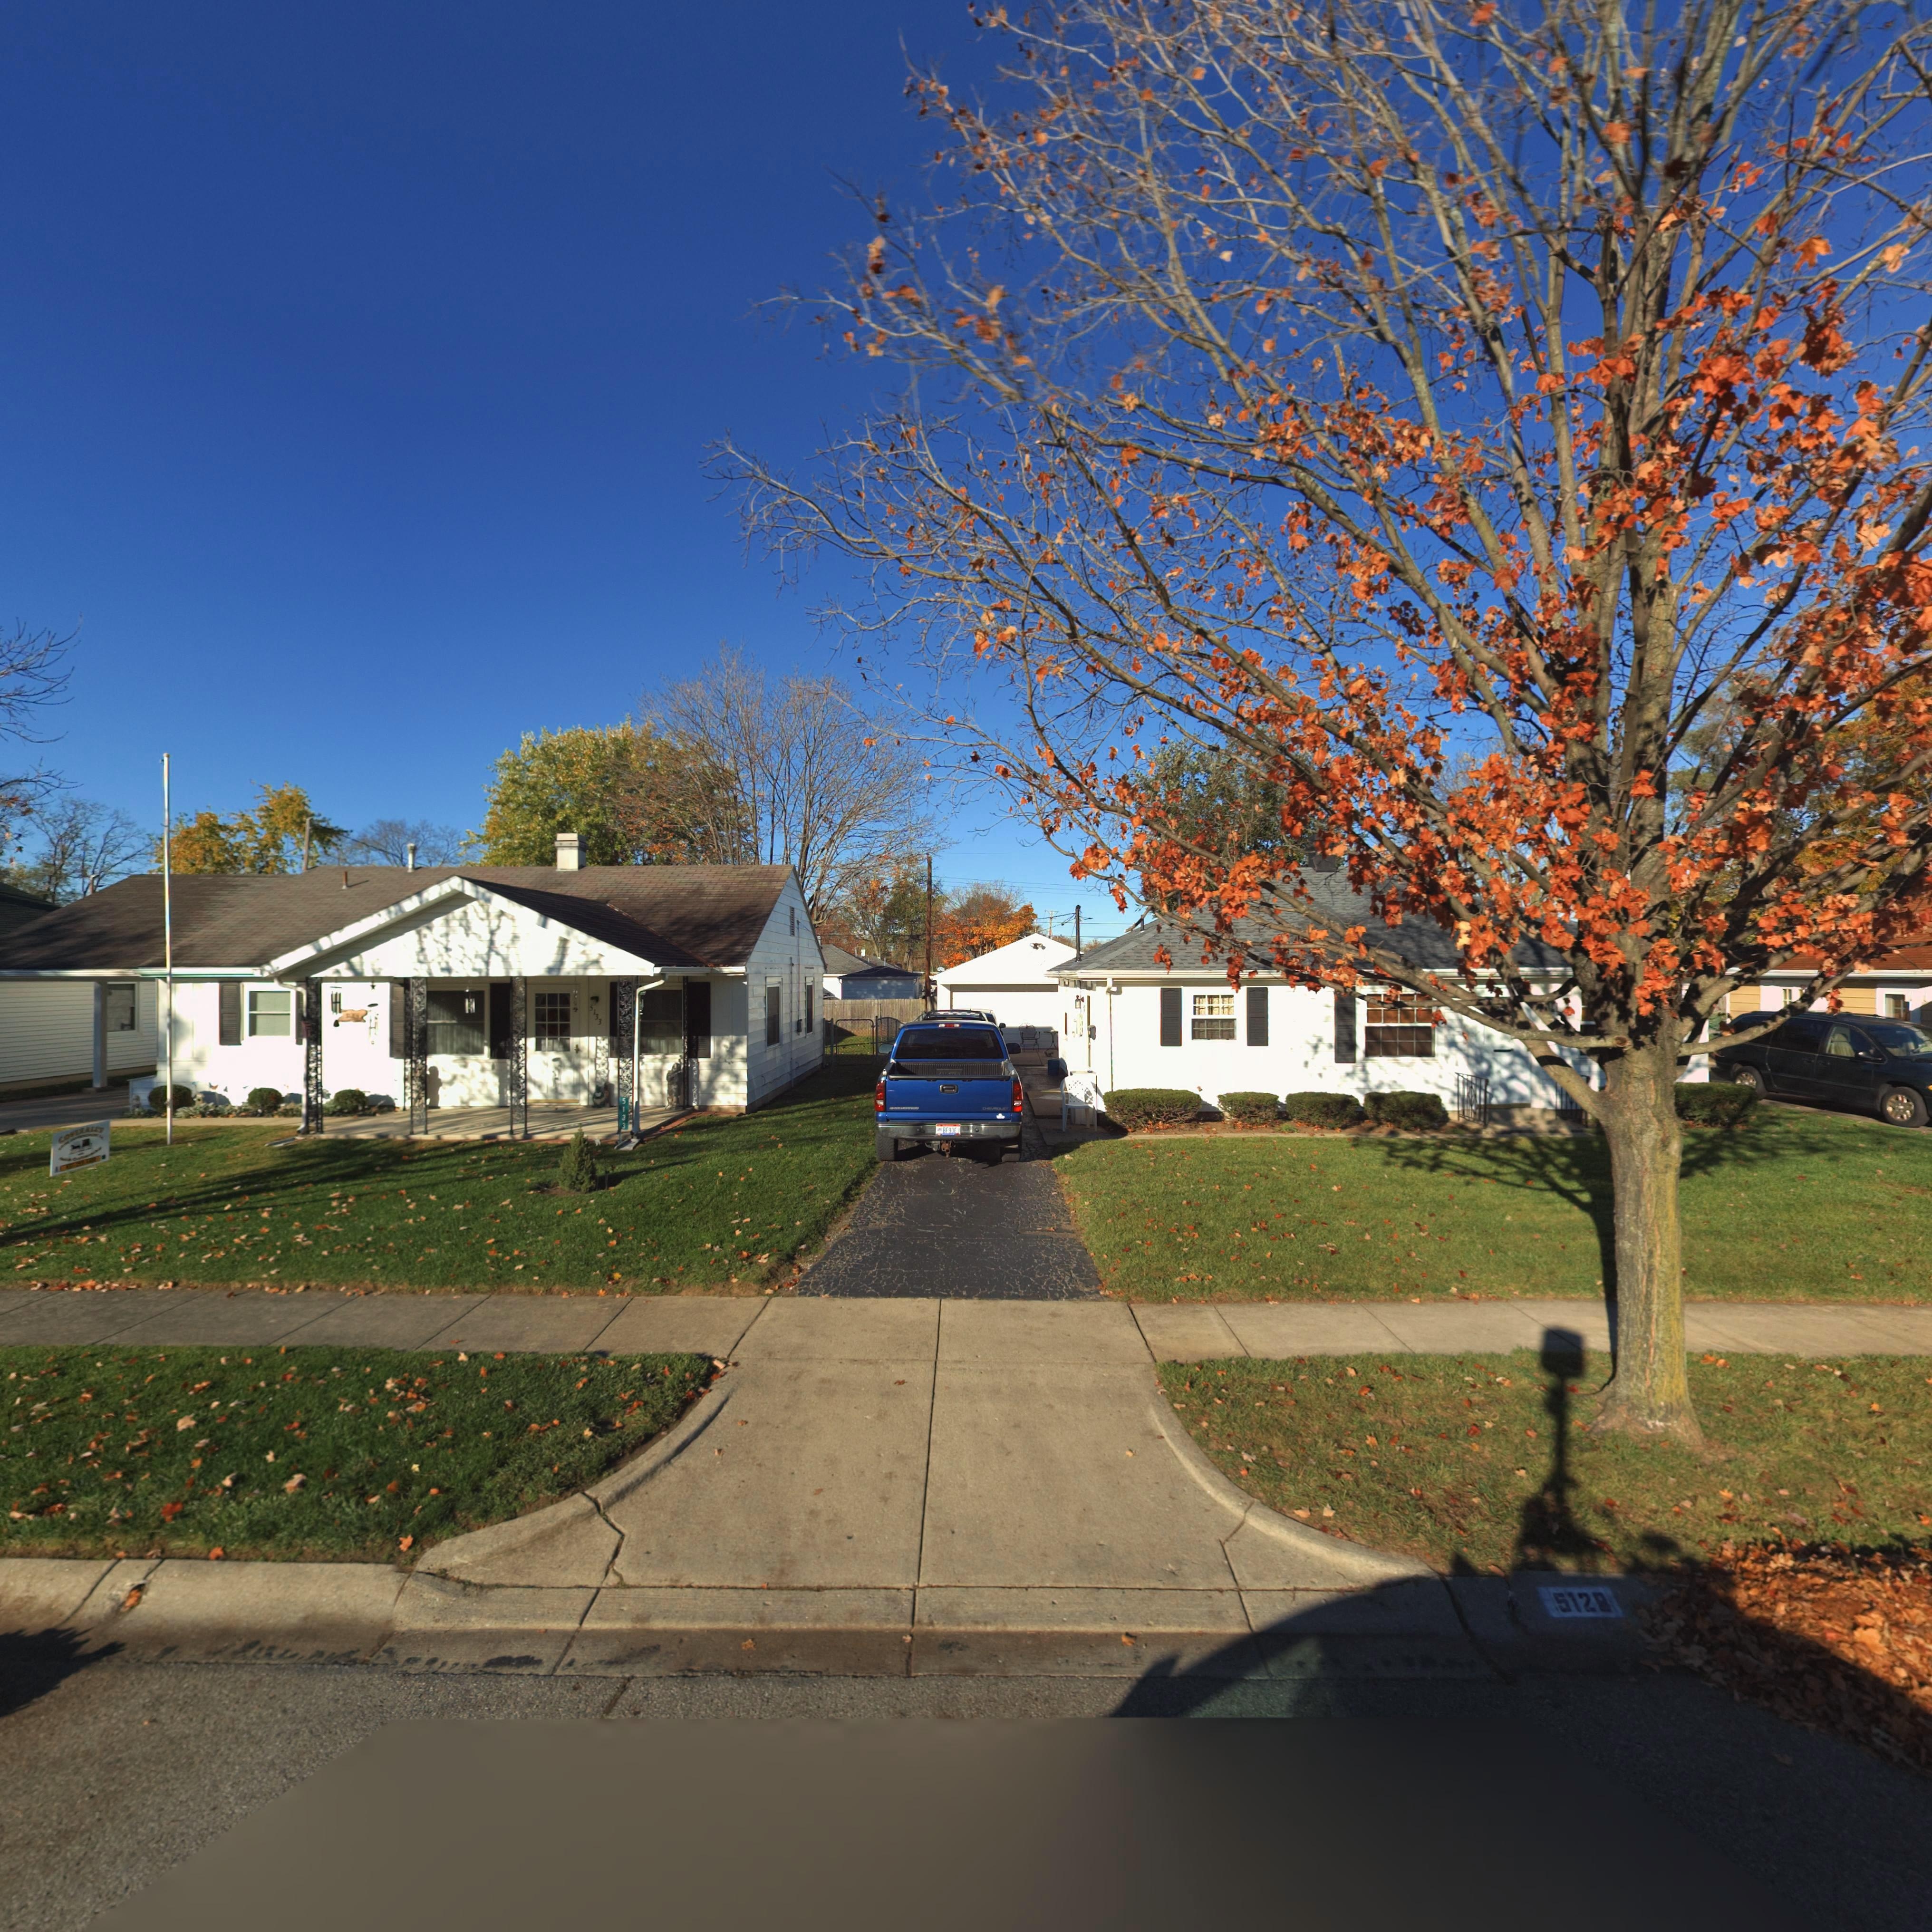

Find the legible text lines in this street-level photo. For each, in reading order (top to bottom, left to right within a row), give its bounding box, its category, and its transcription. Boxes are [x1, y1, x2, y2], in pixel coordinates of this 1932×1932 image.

[589, 1005, 602, 1026] StreetNumber: 5133
[1551, 1592, 1614, 1613] StreetNumber: 512*